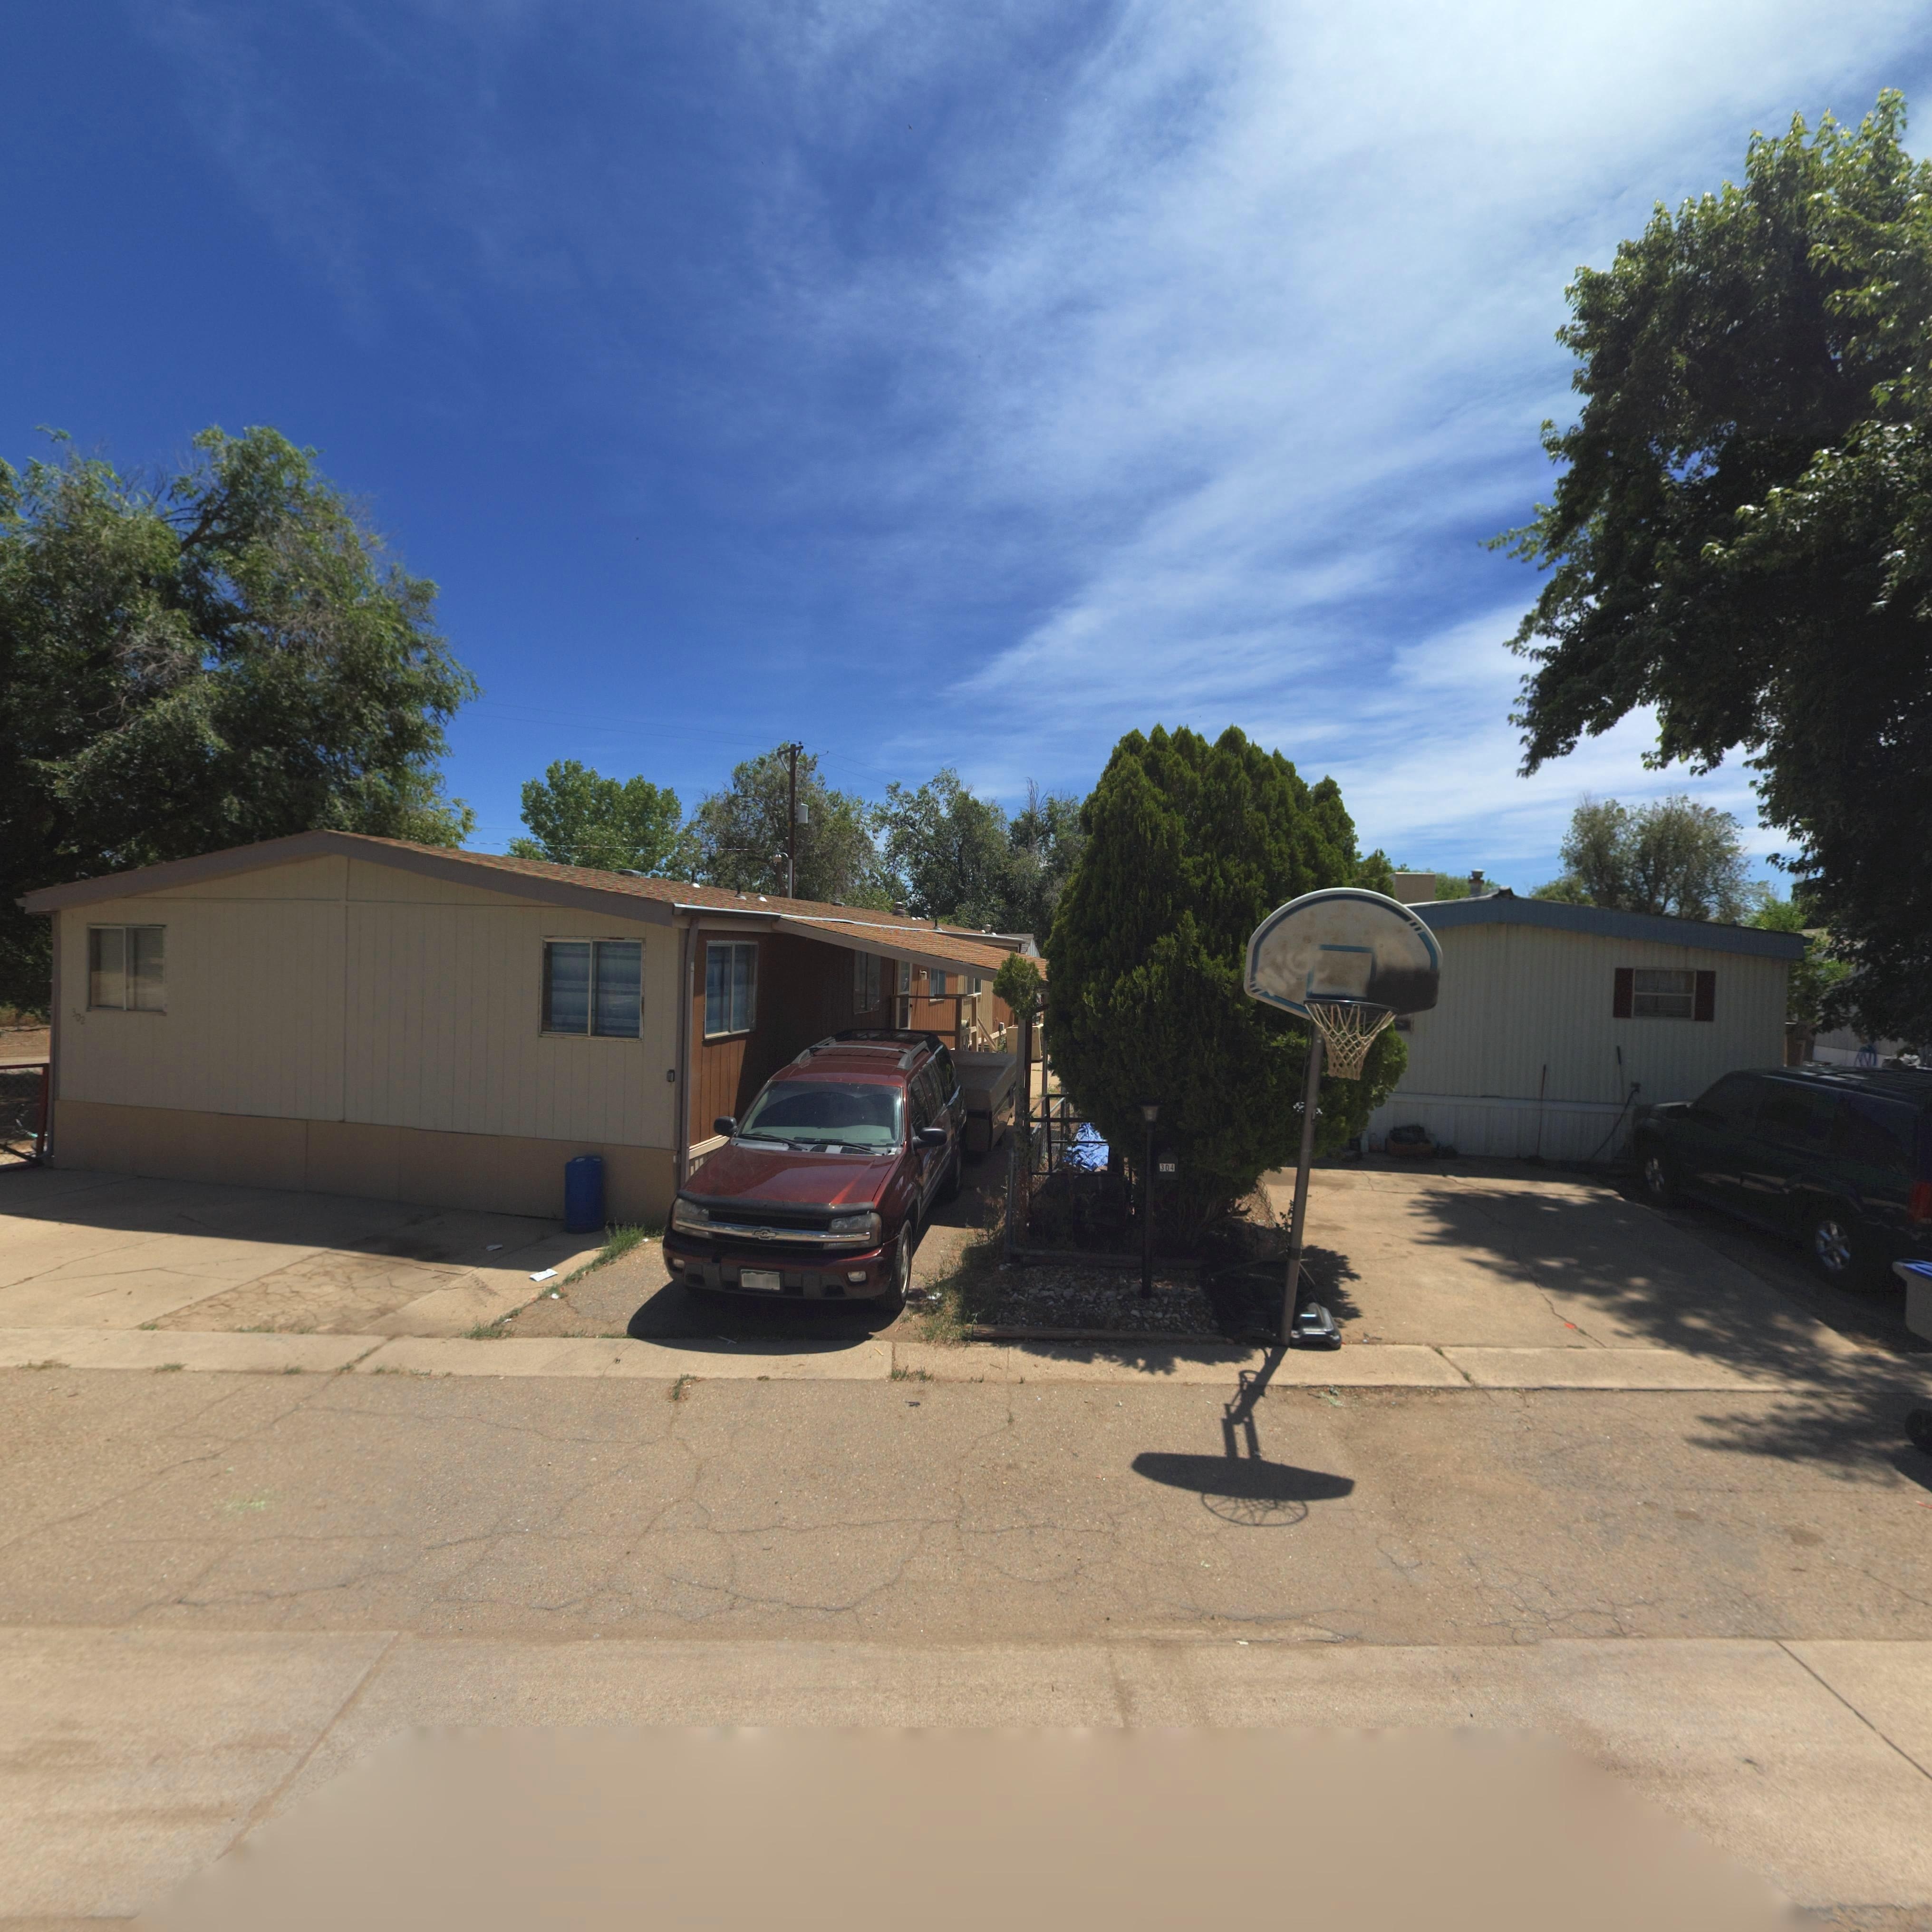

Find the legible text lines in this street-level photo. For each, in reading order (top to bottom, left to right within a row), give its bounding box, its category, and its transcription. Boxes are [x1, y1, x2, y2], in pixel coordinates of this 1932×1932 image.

[70, 1007, 87, 1025] StreetNumber: 302
[1160, 1163, 1174, 1171] StreetNumber: 304